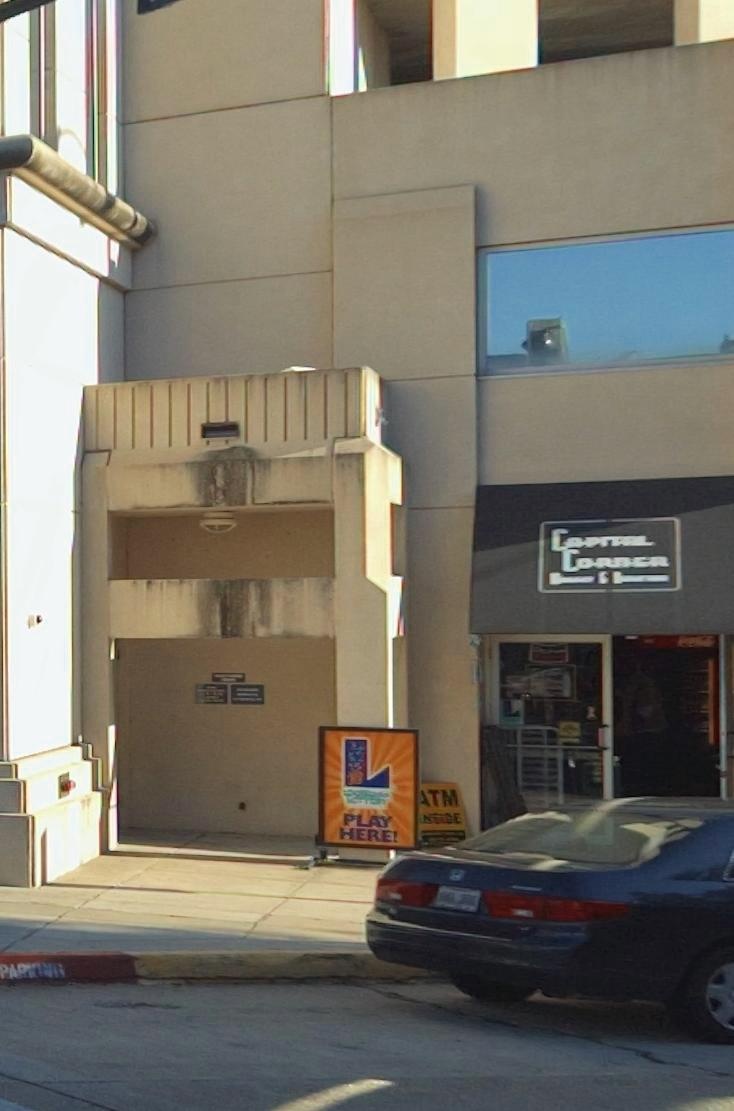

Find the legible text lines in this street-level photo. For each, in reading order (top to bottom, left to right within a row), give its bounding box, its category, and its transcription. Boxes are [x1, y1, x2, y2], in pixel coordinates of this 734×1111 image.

[548, 524, 657, 554] BusinessName: CAPITAL
[558, 547, 673, 575] BusinessName: CORNER
[424, 787, 464, 810] None: TM
[340, 810, 396, 830] None: PLAY
[337, 825, 399, 845] None: HERE!
[7, 960, 70, 981] None: ARKING